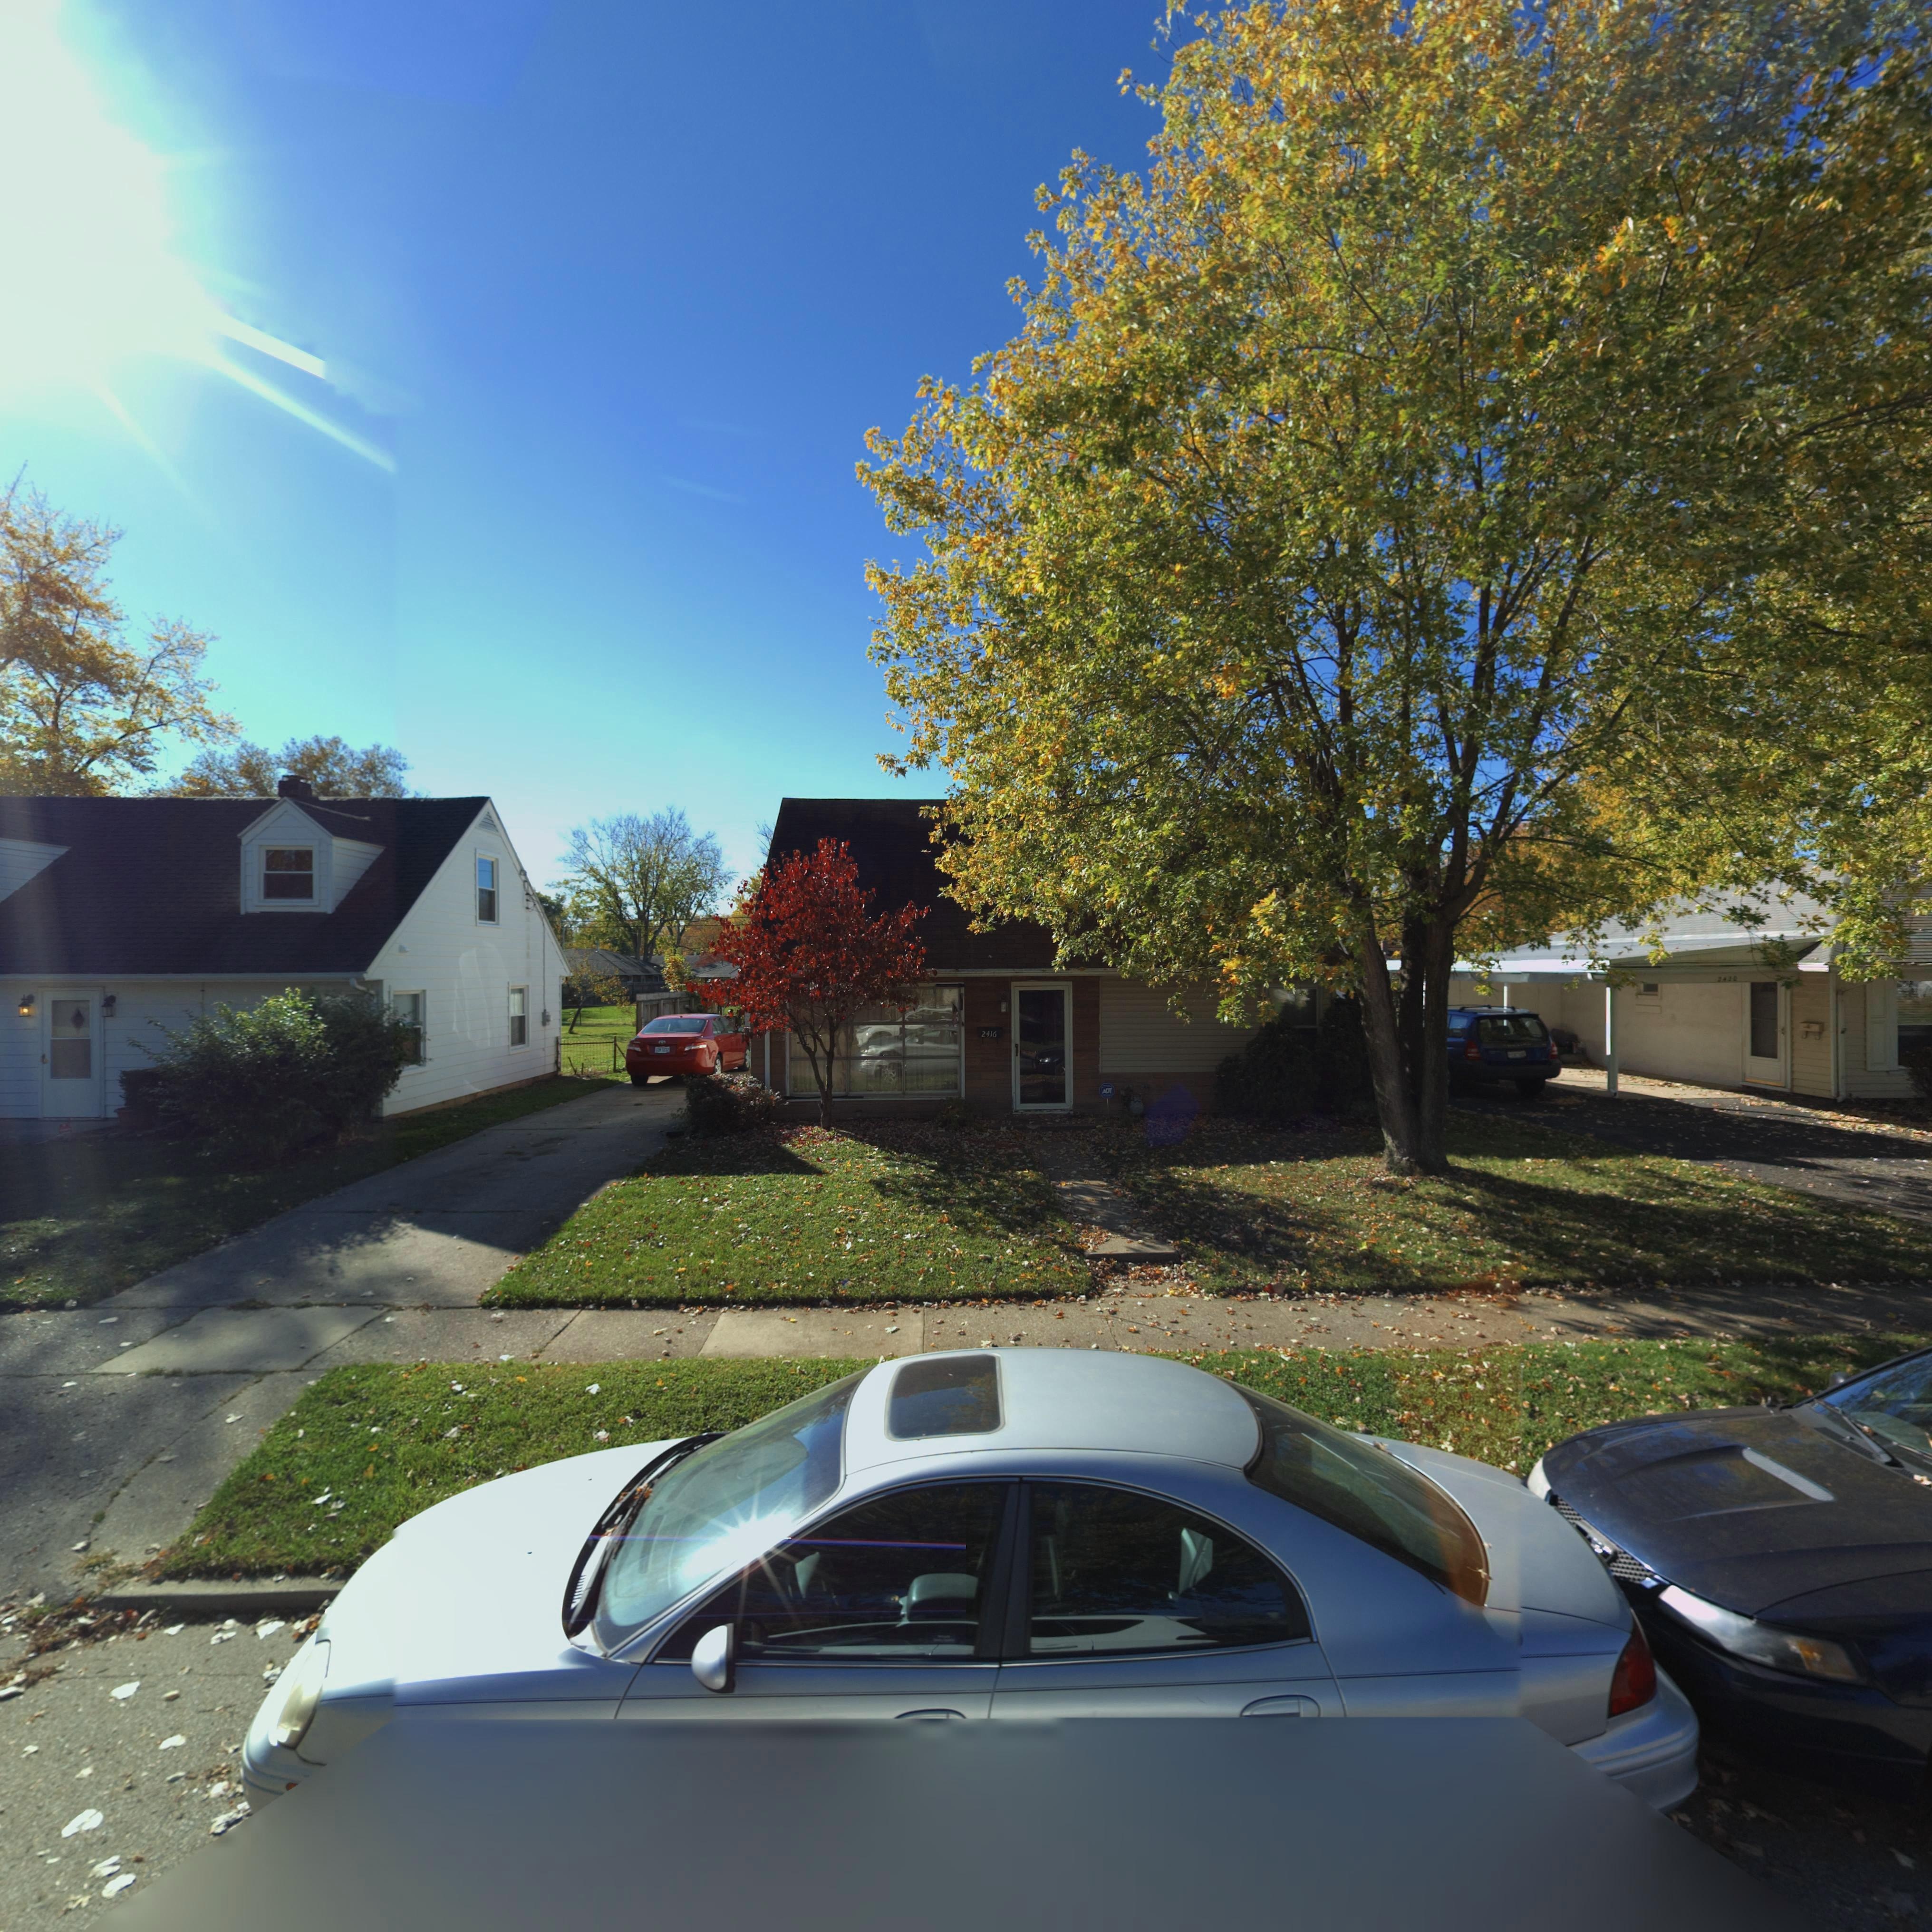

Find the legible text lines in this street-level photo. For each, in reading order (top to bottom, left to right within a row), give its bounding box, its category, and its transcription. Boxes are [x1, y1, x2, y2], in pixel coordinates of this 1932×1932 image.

[1716, 975, 1738, 983] StreetNumber: 2420
[981, 1030, 997, 1038] StreetNumber: 2416
[1101, 1088, 1112, 1094] None: ADT